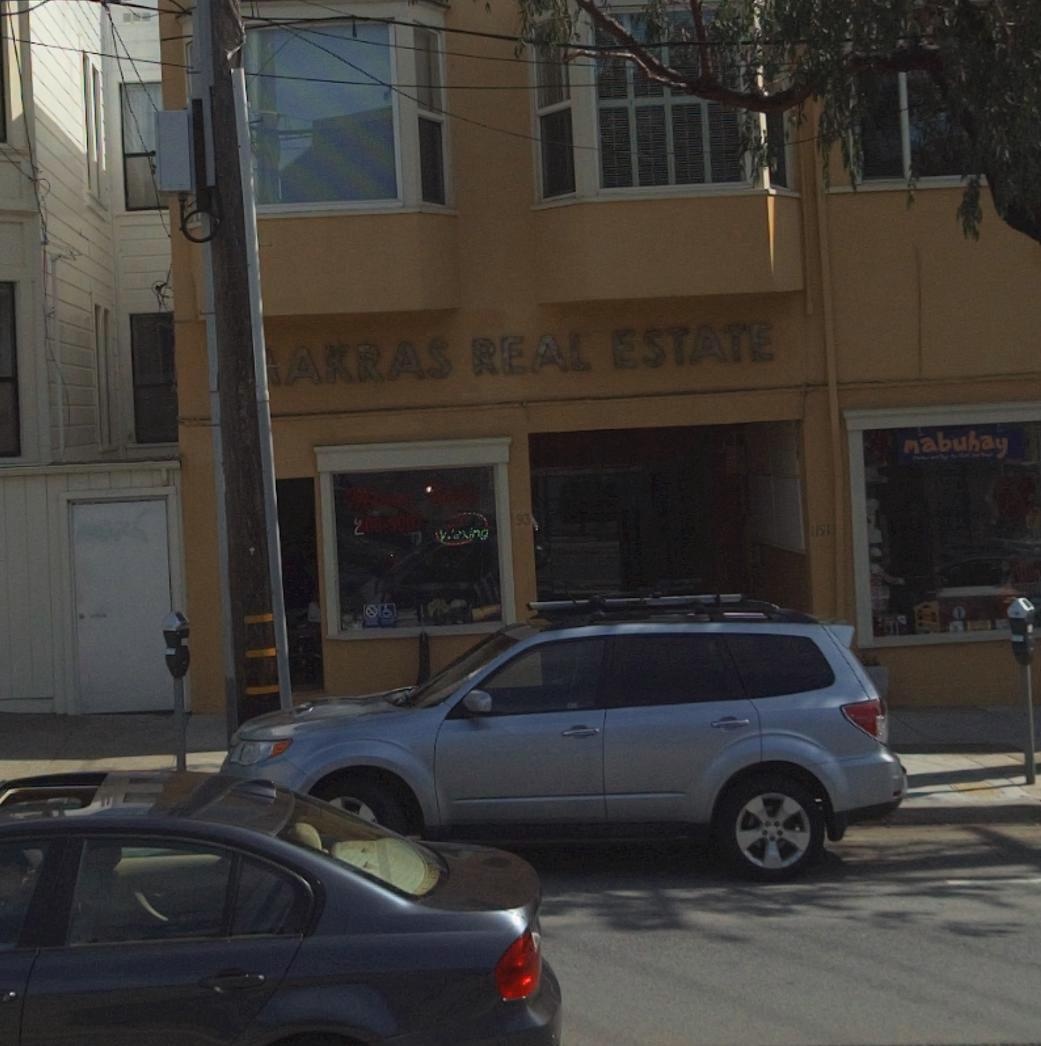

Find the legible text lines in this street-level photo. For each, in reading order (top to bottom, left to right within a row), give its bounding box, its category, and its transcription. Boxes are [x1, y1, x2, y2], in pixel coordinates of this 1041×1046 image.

[280, 321, 777, 388] BusinessName: AKRAS REAL ESTATE
[901, 429, 1009, 460] BusinessName: mabuhay
[515, 512, 532, 526] None: 93
[809, 523, 831, 538] StreetNumber: 1191